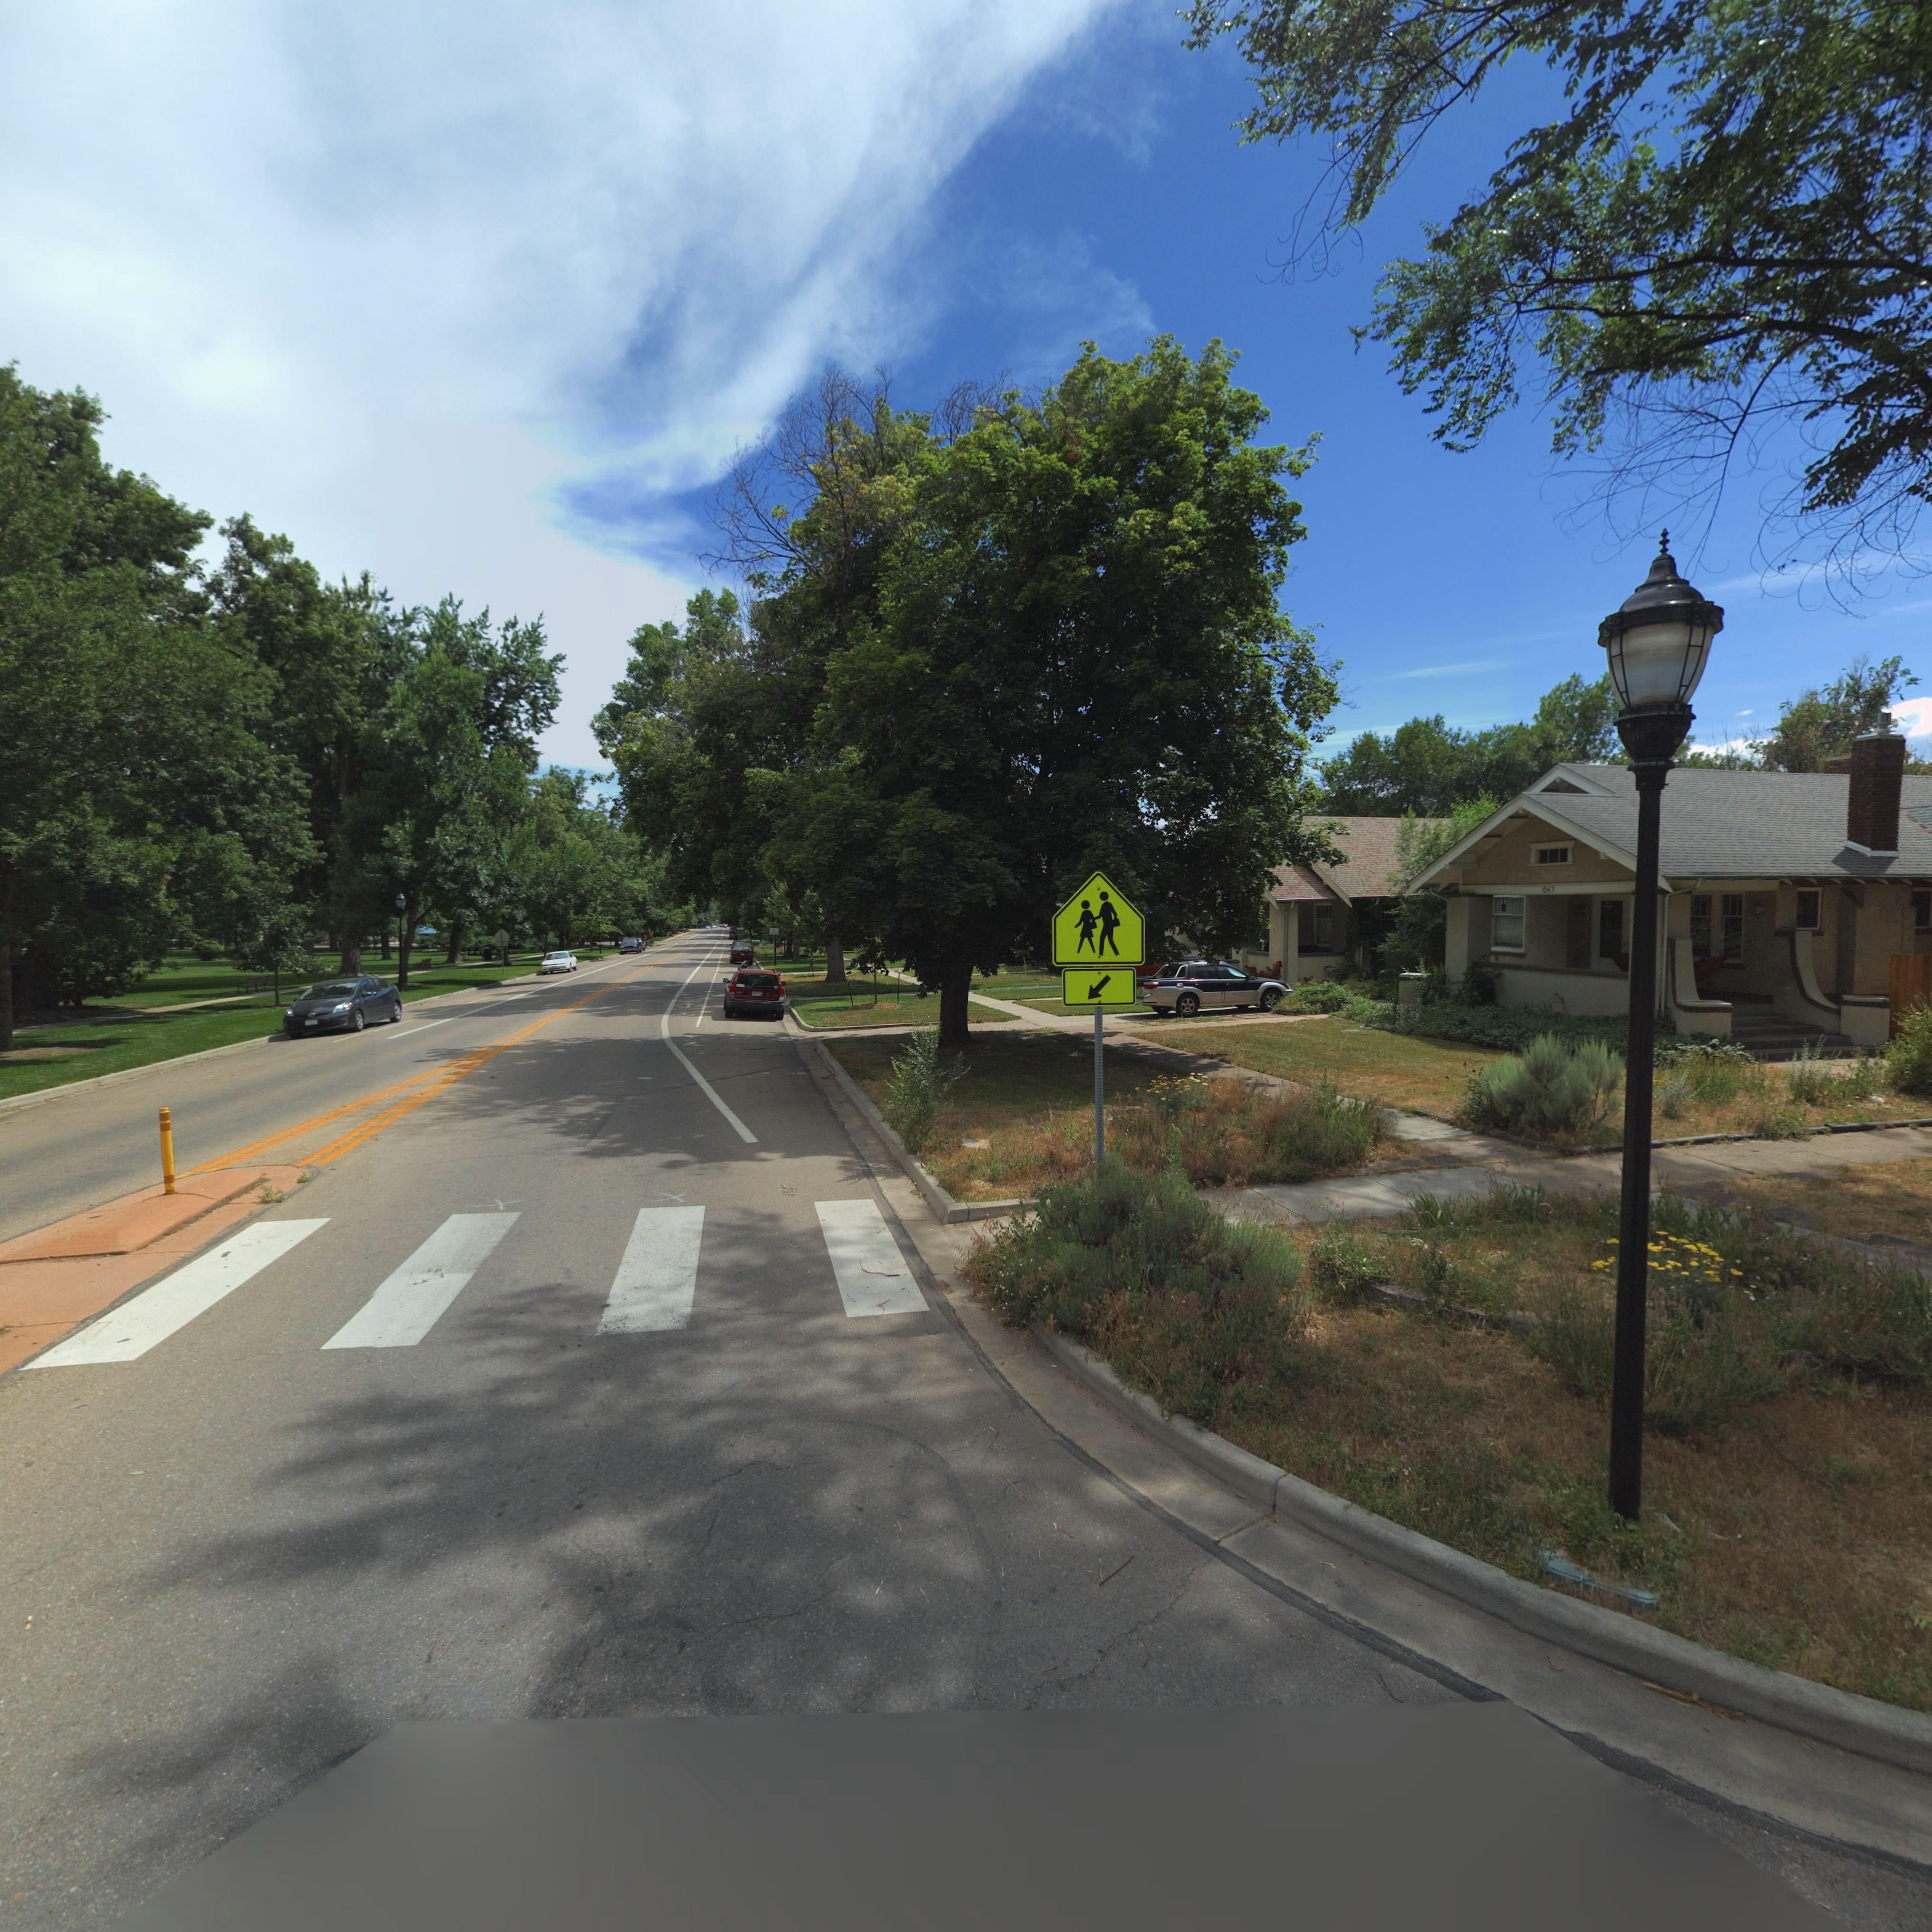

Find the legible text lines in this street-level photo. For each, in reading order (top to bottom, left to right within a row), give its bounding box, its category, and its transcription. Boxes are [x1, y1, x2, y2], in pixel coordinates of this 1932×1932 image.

[1542, 885, 1555, 893] StreetNumber: 647